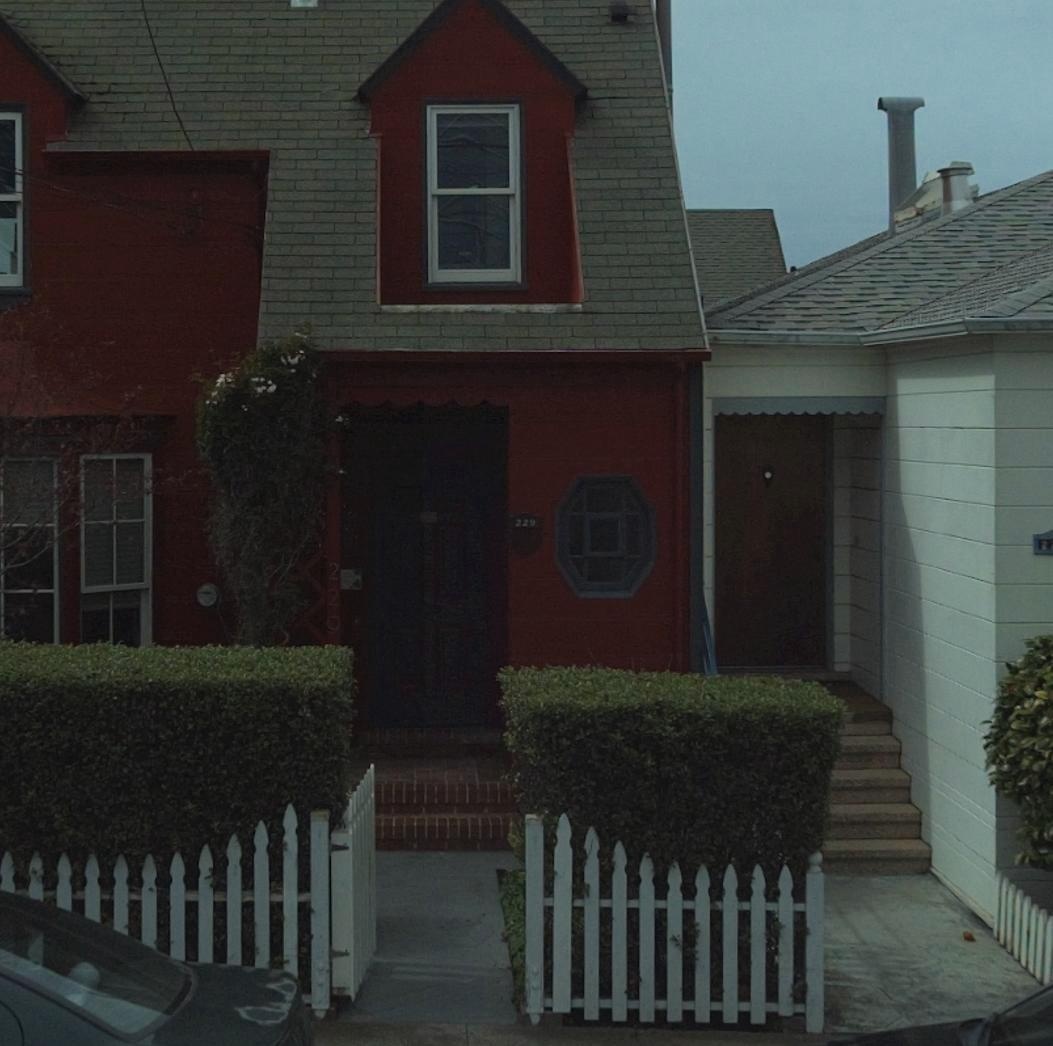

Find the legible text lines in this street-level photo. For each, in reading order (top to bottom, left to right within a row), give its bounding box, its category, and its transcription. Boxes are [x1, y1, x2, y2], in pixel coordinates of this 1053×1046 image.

[514, 517, 537, 528] StreetNumber: 229
[323, 559, 343, 635] StreetNumber: 229